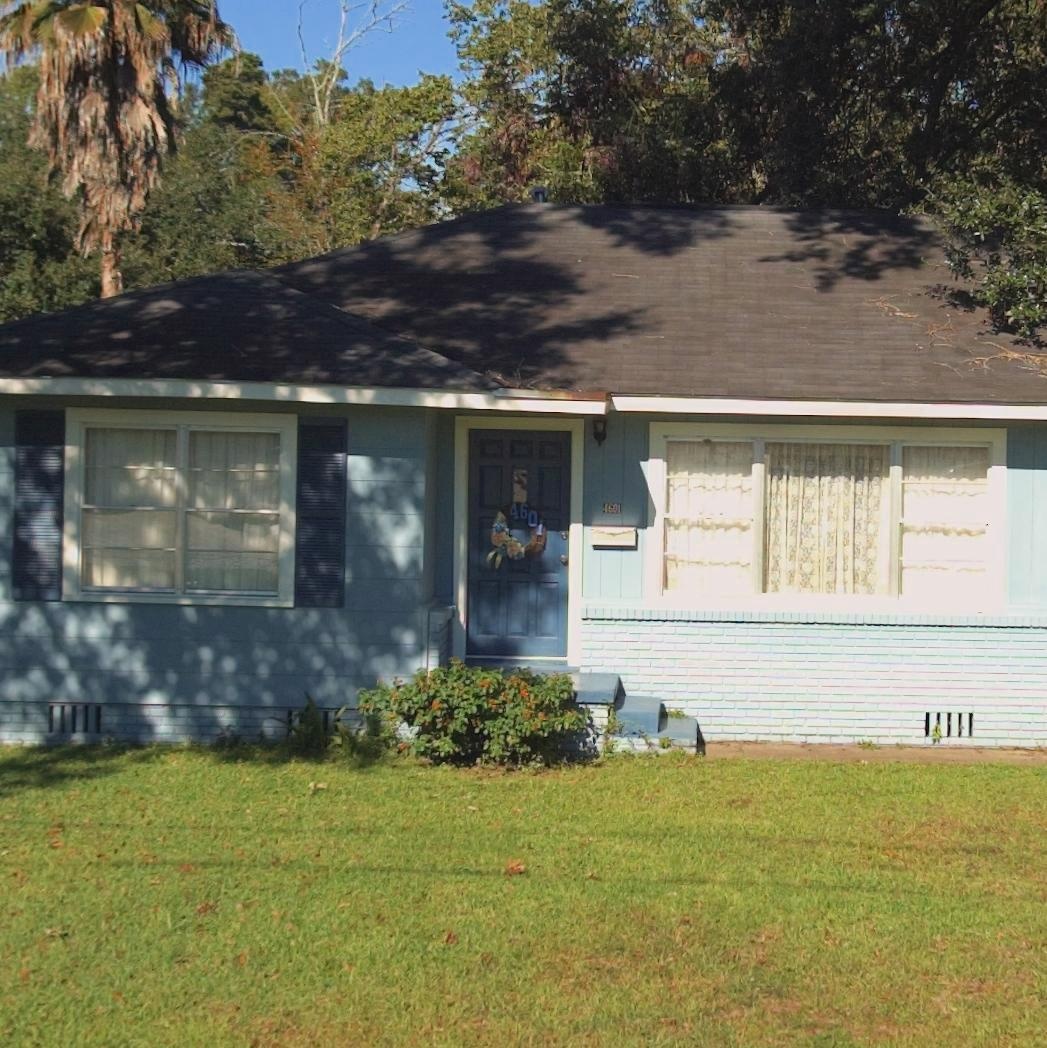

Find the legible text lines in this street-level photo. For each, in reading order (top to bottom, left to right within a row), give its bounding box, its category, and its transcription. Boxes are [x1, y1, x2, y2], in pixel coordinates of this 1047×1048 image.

[506, 500, 547, 540] StreetNumber: 4601
[599, 501, 623, 515] StreetNumber: 4601